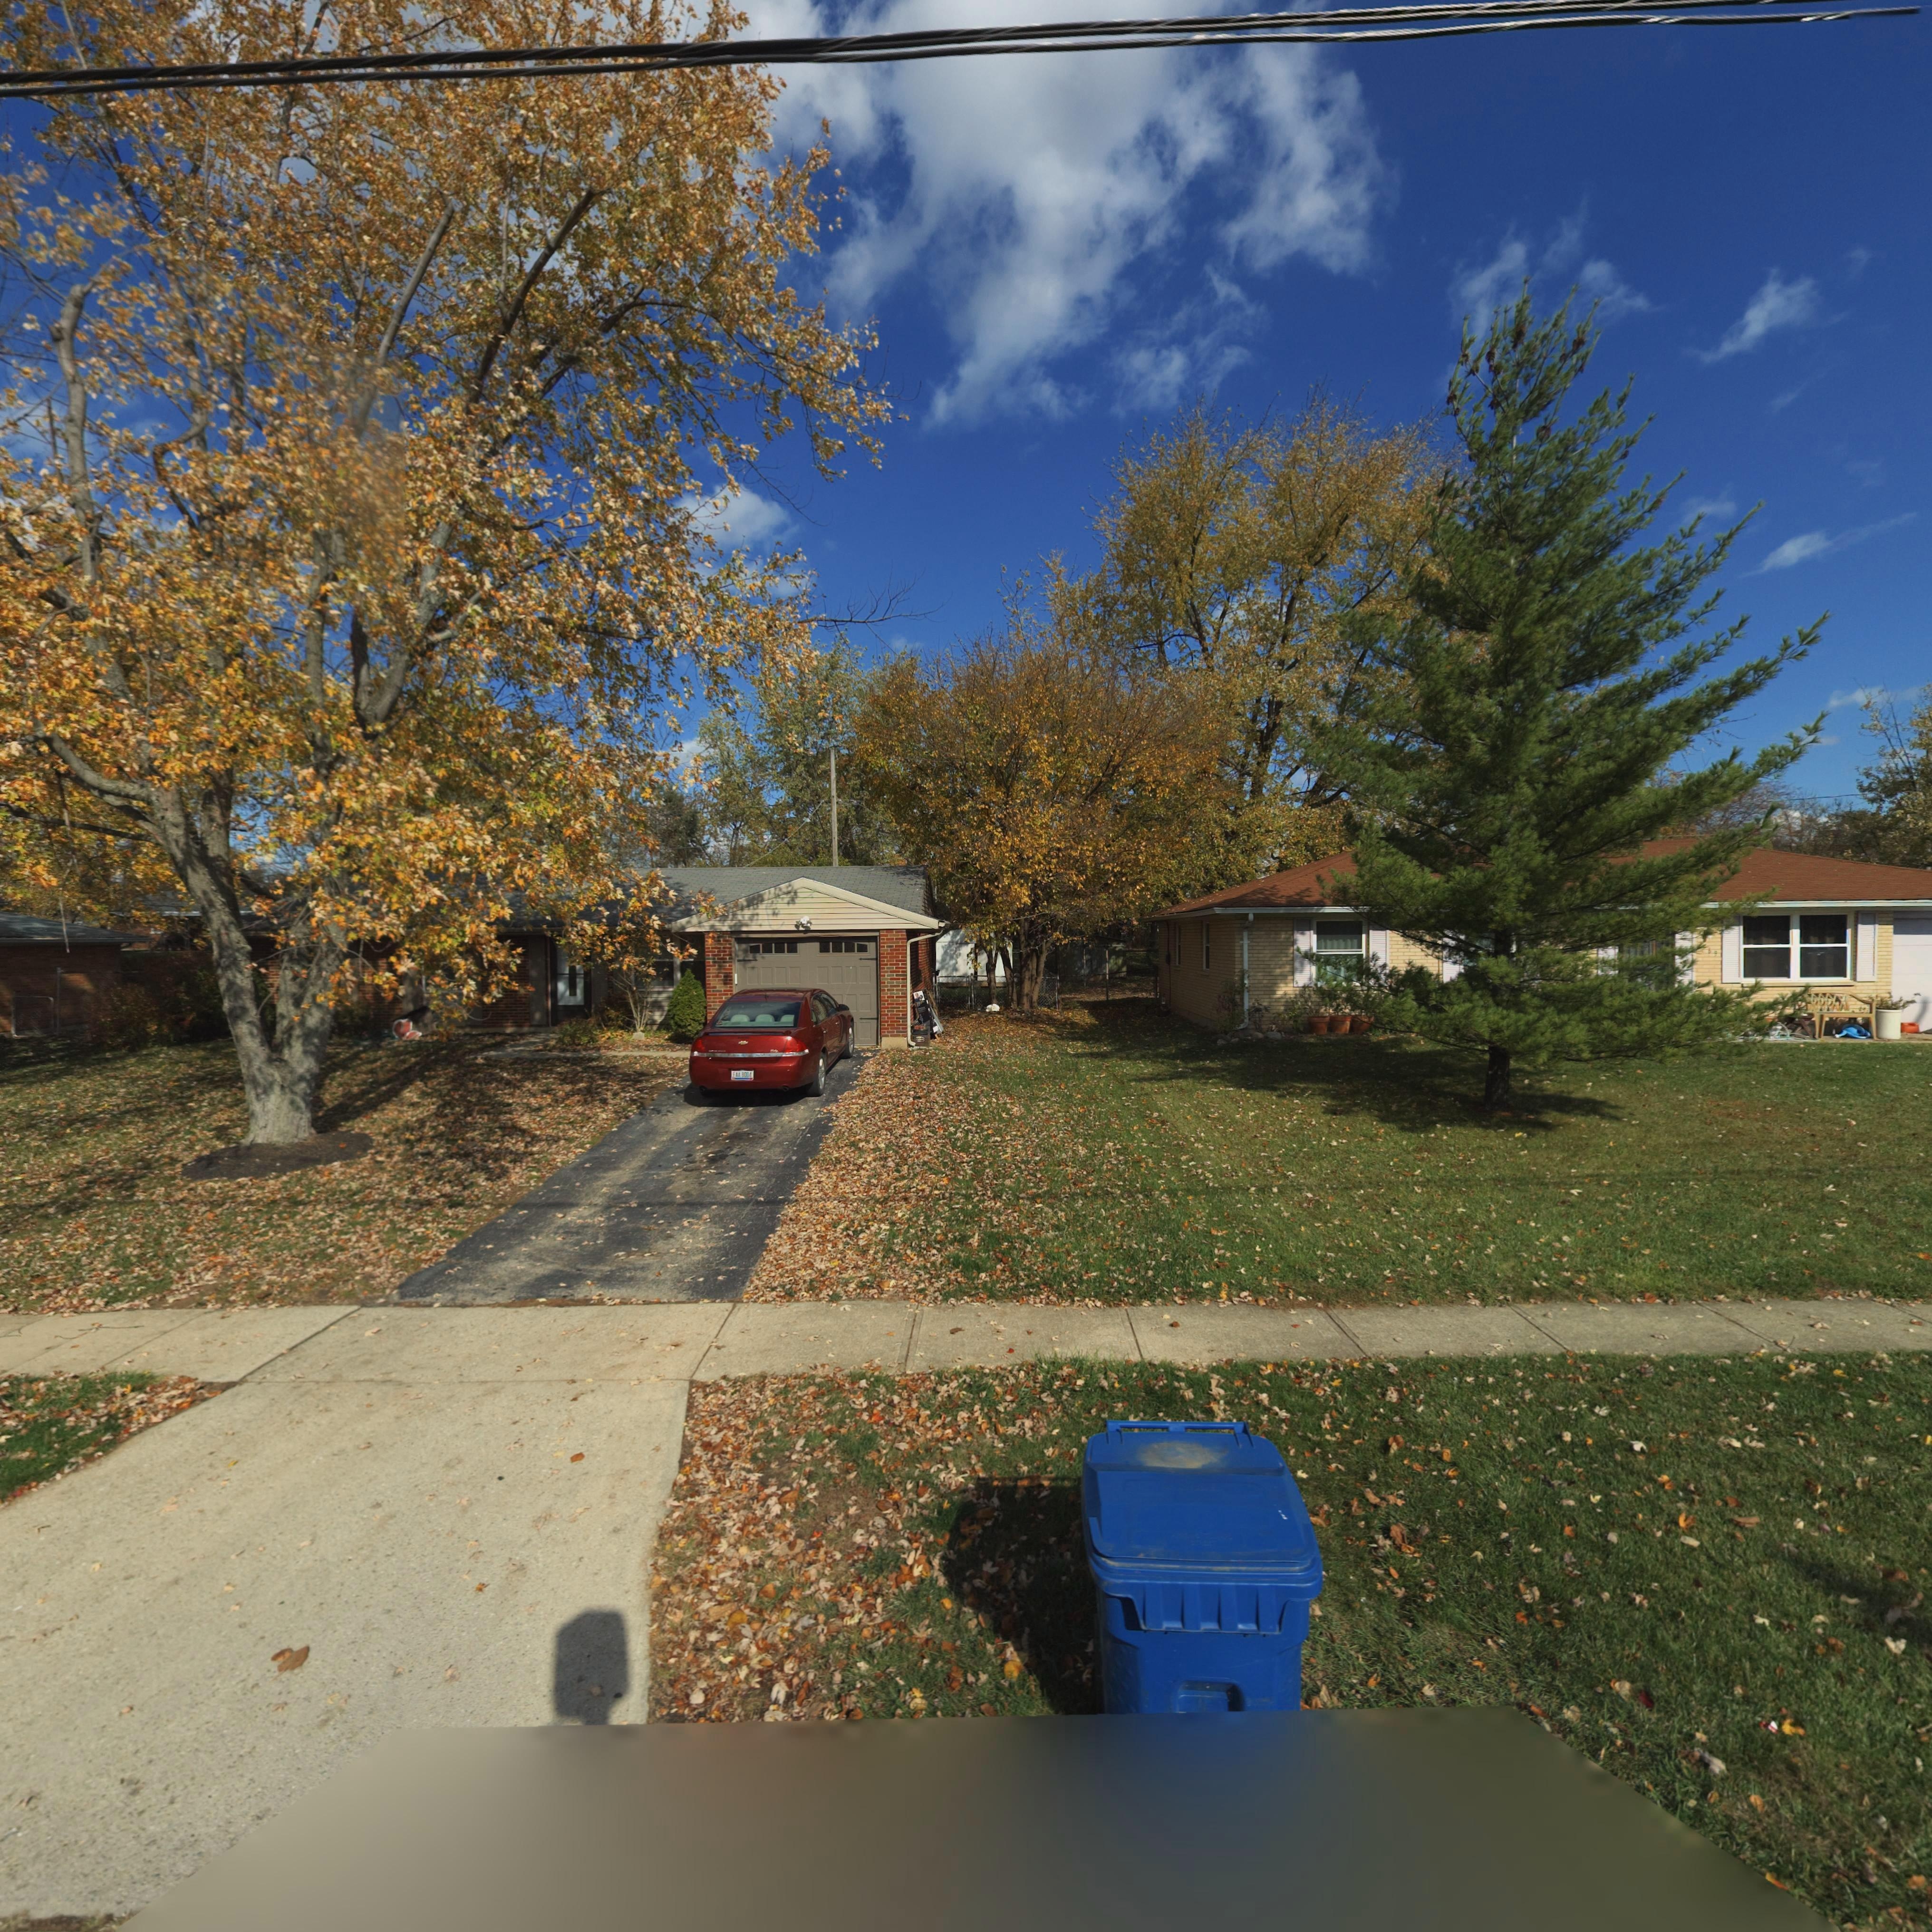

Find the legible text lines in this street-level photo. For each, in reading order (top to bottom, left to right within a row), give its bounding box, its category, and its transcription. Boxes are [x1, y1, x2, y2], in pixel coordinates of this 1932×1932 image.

[1707, 947, 1718, 957] StreetNumber: 69